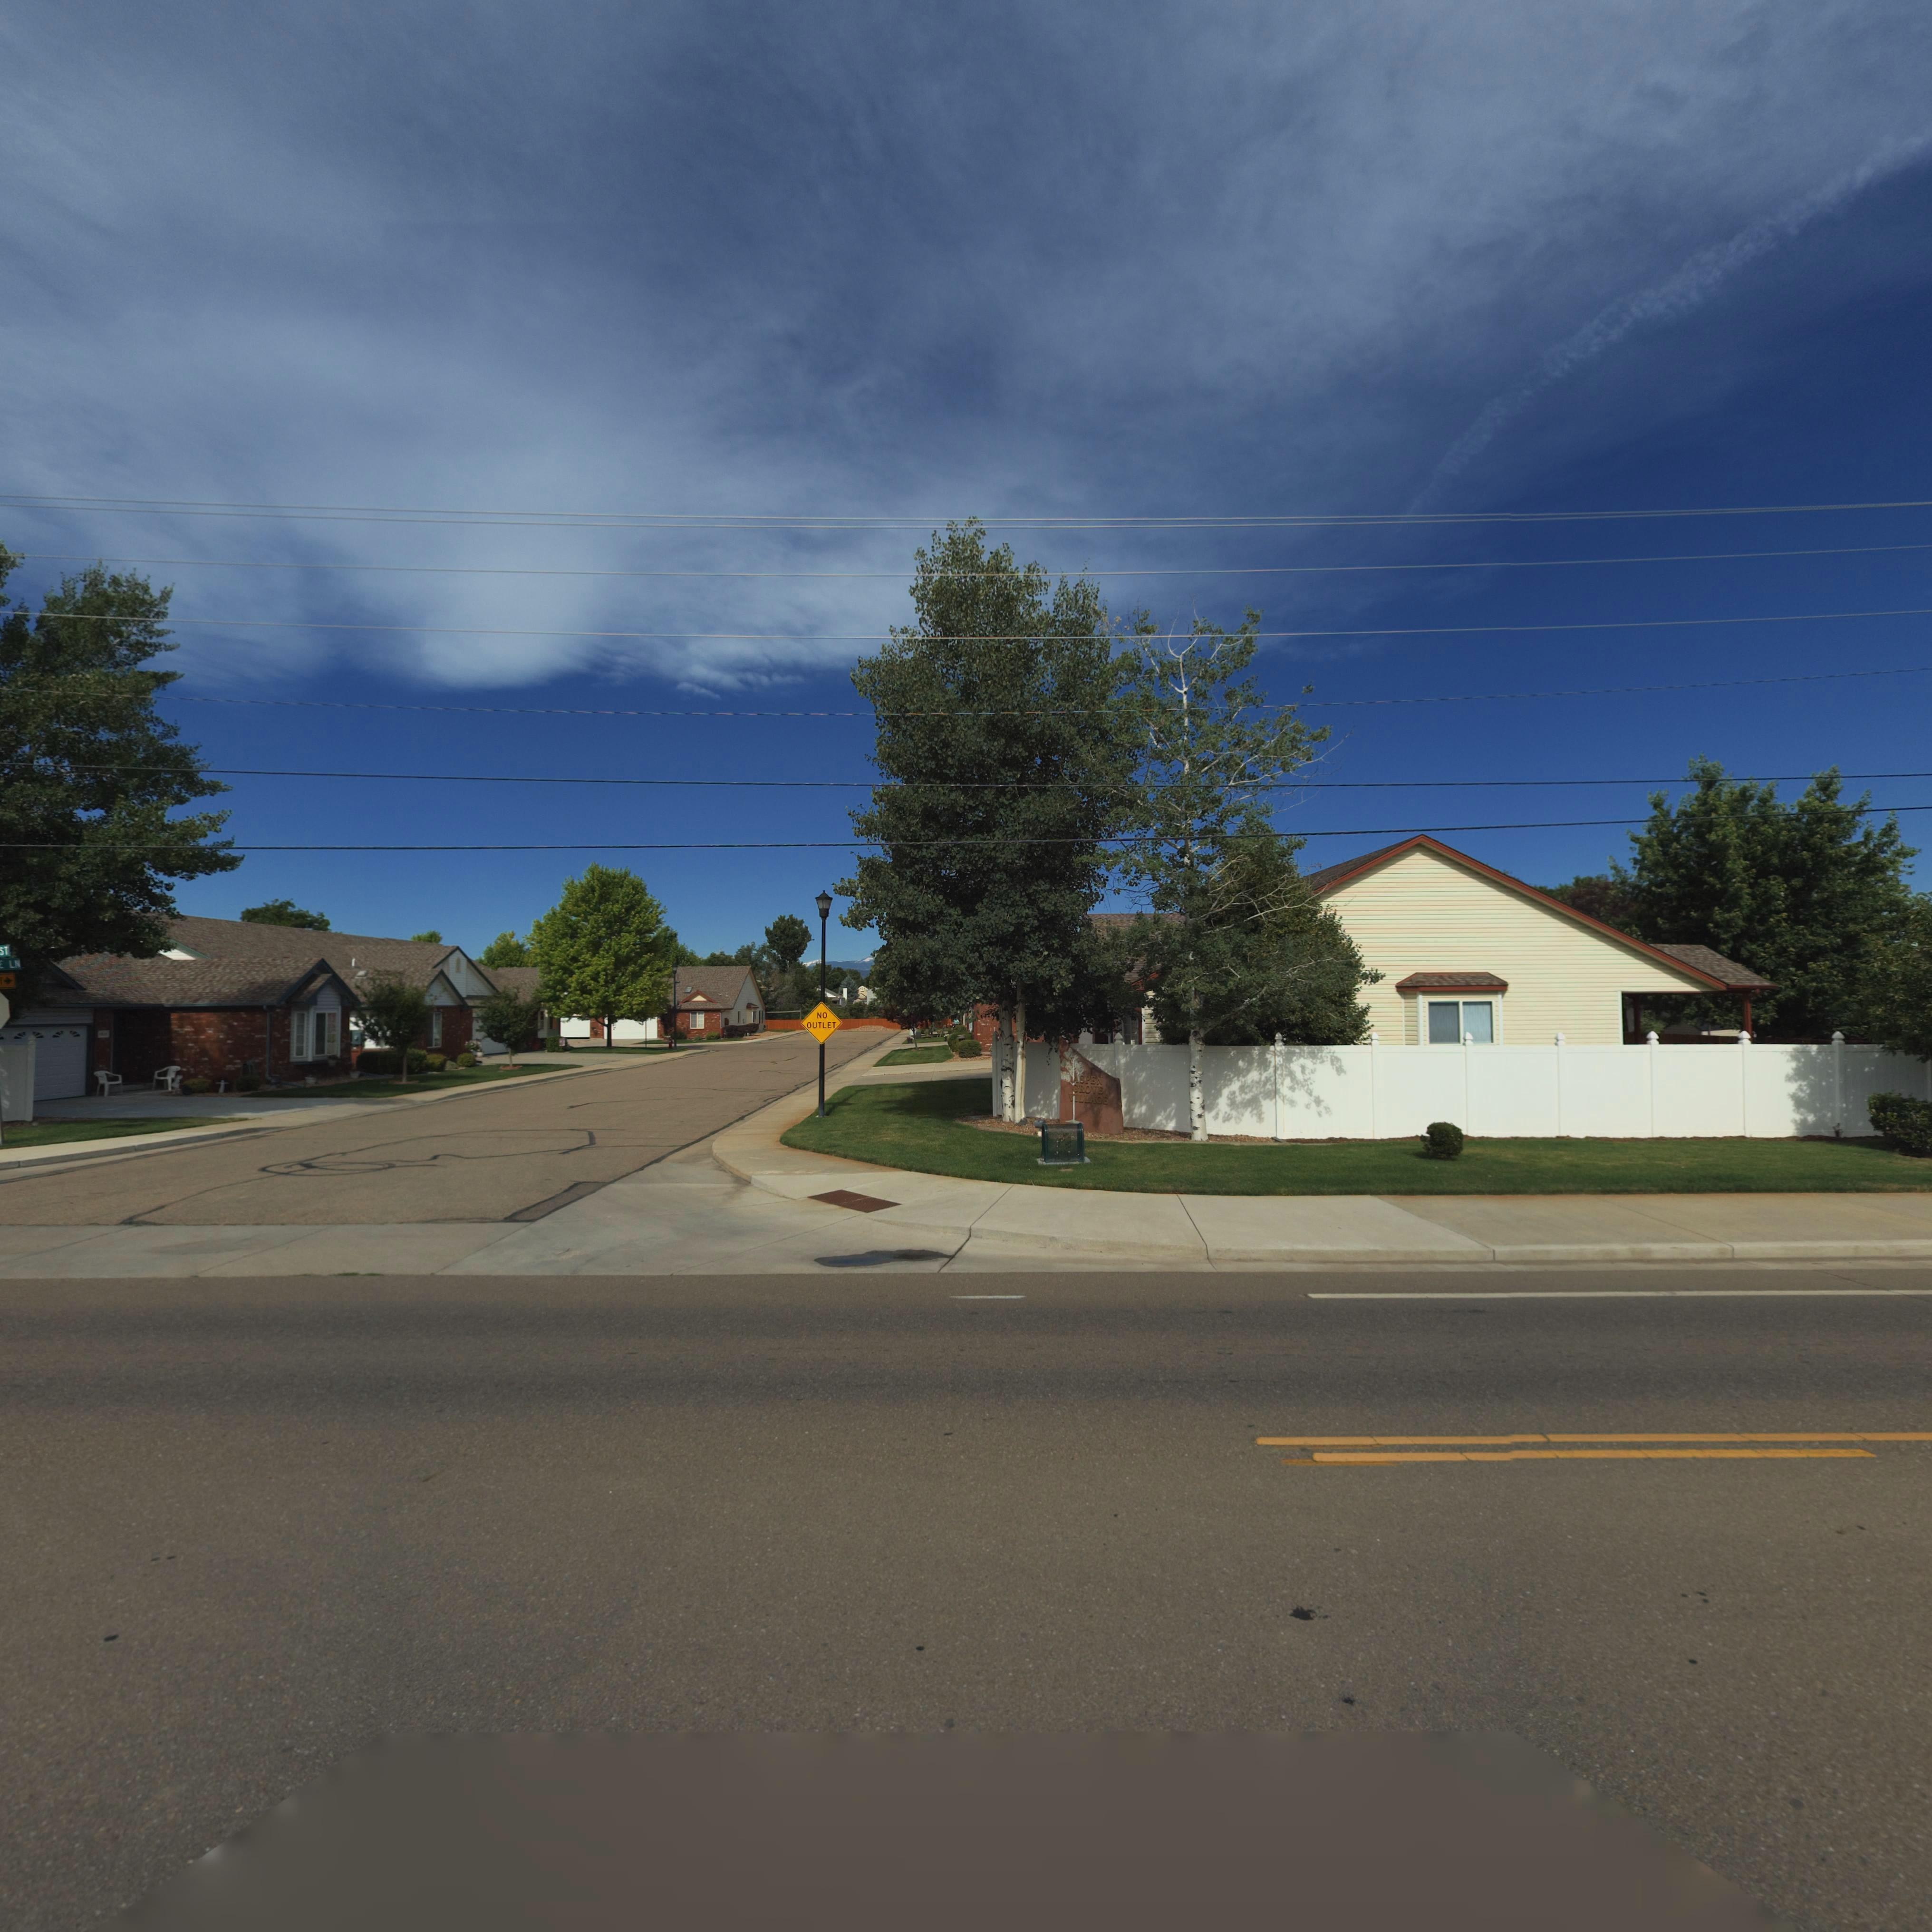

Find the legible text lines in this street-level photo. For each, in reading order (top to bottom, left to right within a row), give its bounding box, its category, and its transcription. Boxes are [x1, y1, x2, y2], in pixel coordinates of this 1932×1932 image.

[3, 946, 9, 955] StreetName: T
[9, 959, 21, 968] StreetName: LN
[1072, 1074, 1103, 1085] BusinessName: ASPEN
[1072, 1083, 1103, 1094] BusinessName: GROVE
[1068, 1093, 1109, 1104] BusinessName: VILLAGE